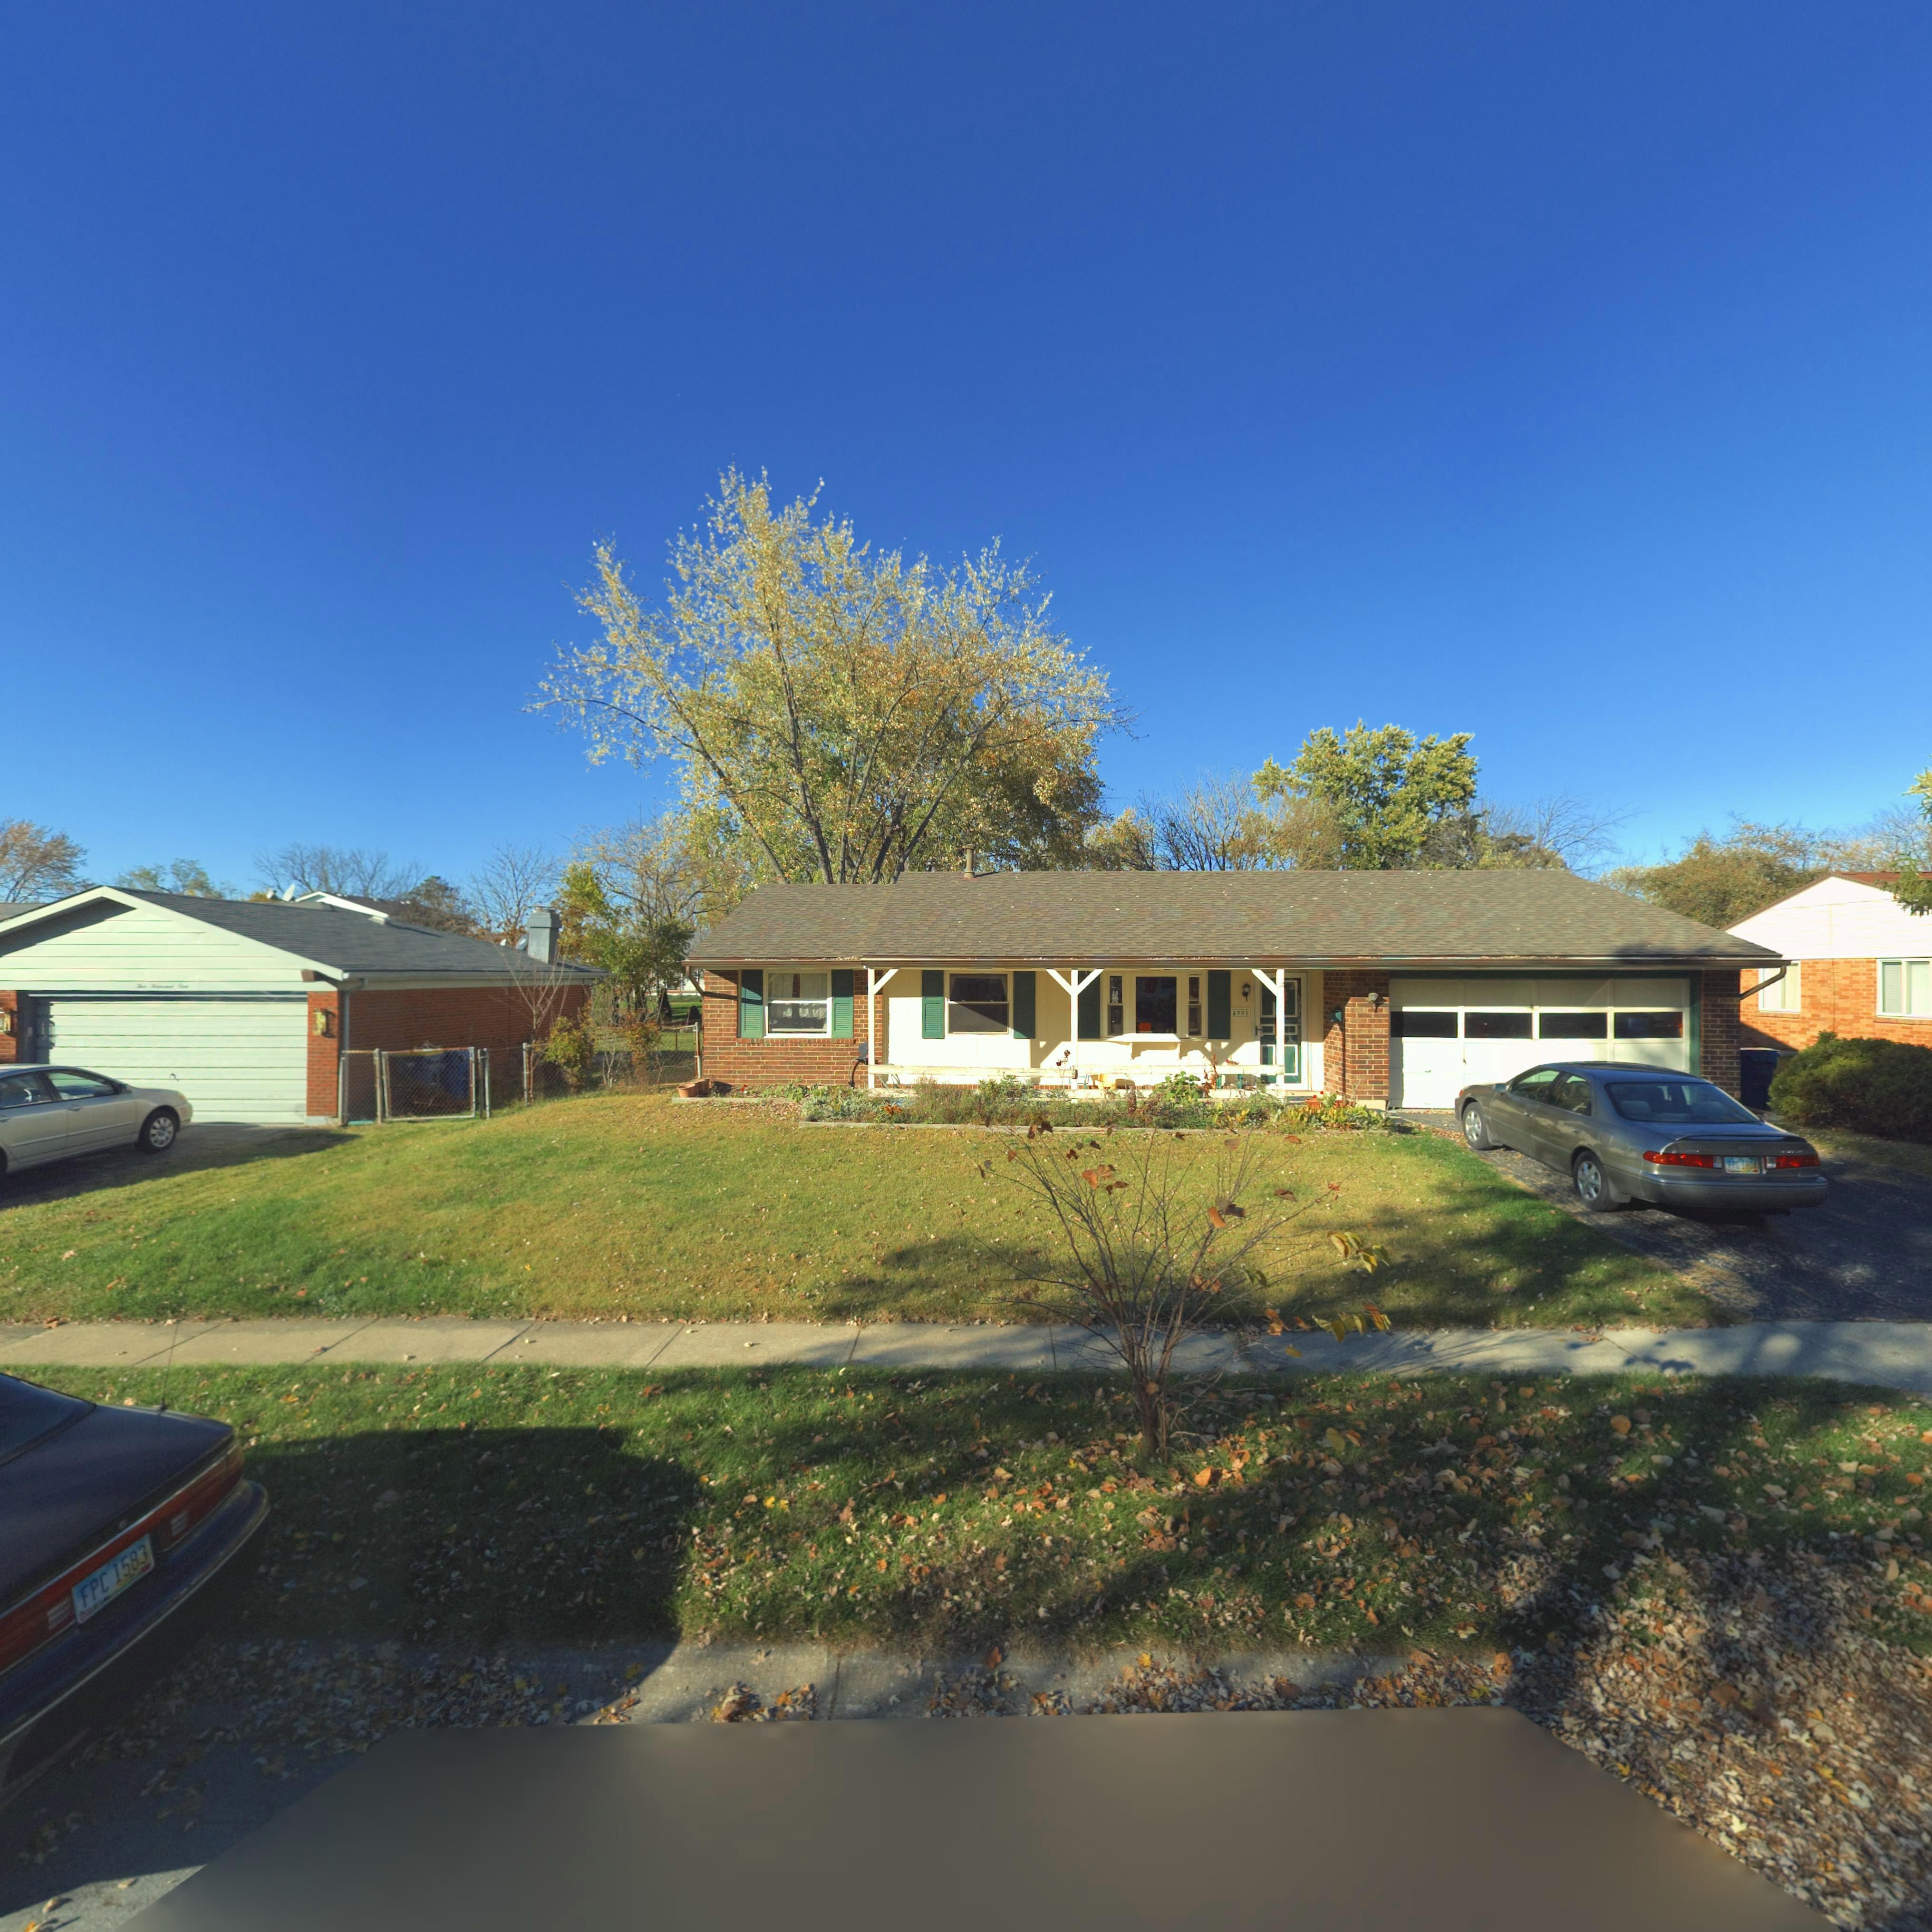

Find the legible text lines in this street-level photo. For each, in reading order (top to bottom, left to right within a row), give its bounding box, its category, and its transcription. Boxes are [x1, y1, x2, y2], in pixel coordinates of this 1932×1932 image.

[135, 983, 189, 989] StreetNumber: Five Thousand One
[1232, 1010, 1248, 1016] StreetNumber: 4991